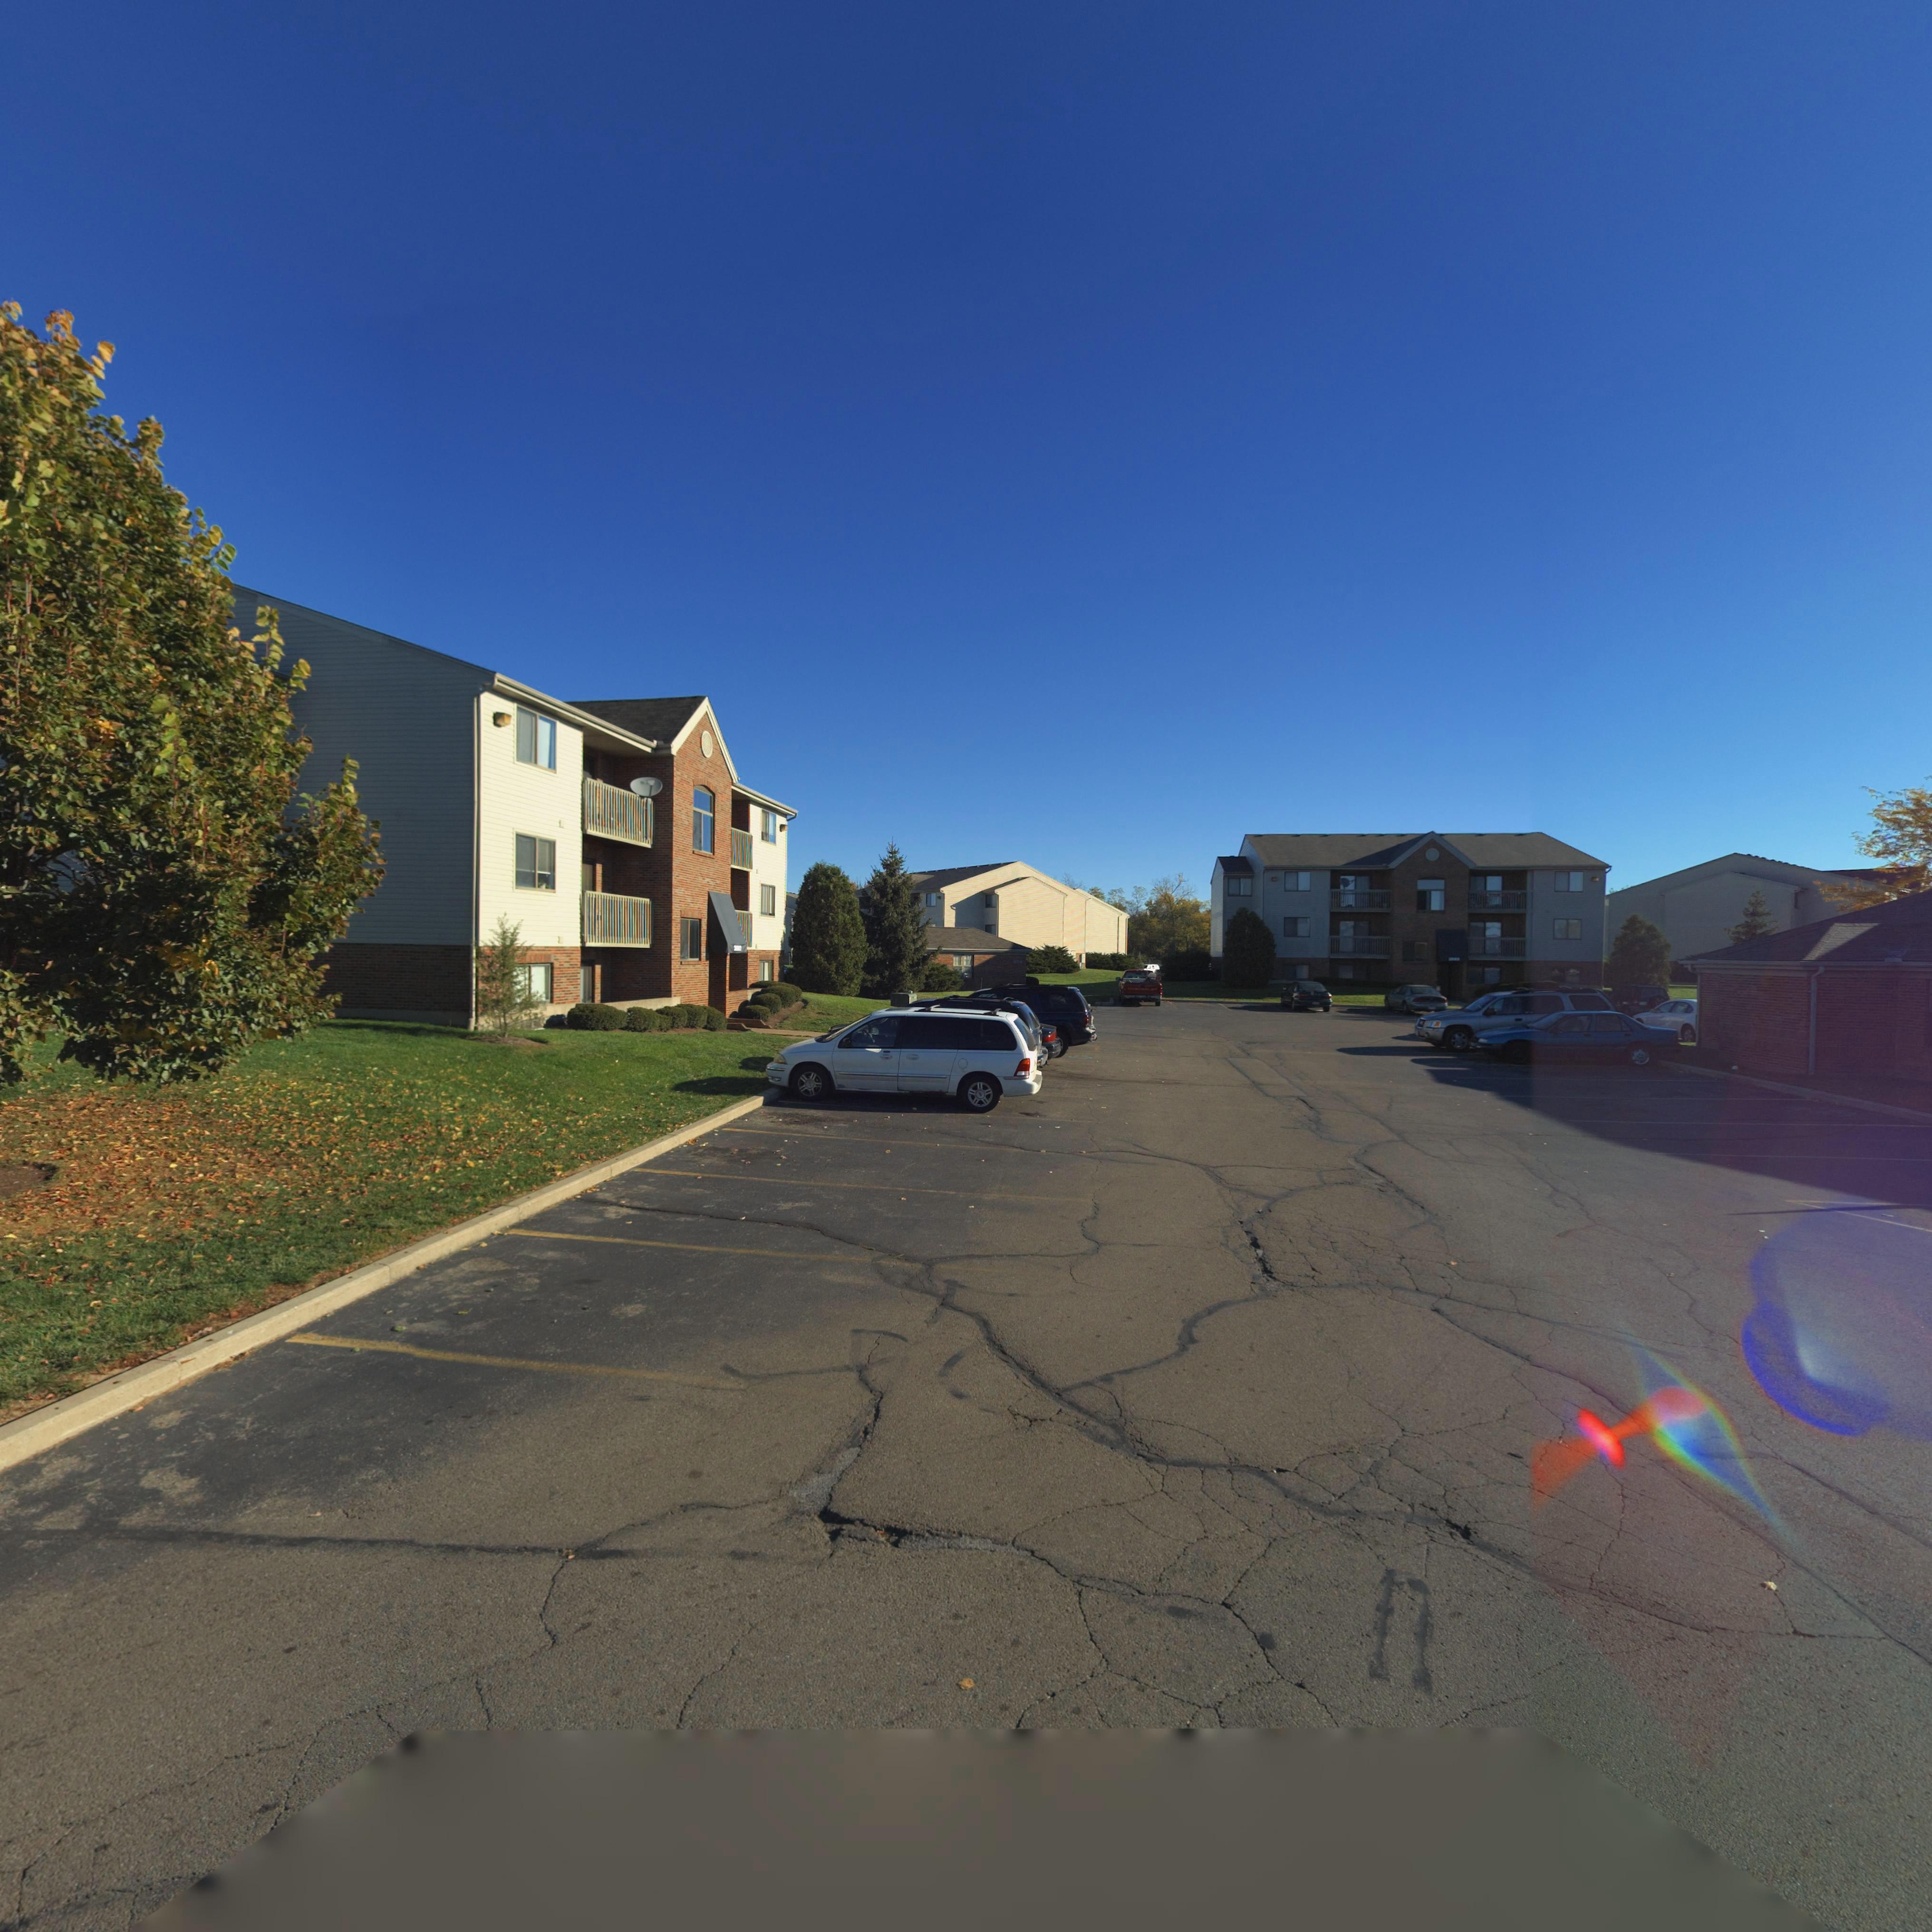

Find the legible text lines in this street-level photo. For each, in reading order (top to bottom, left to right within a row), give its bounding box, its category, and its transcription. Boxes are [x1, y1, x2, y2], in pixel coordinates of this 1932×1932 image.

[1448, 957, 1460, 961] StreetNumber: 2**3